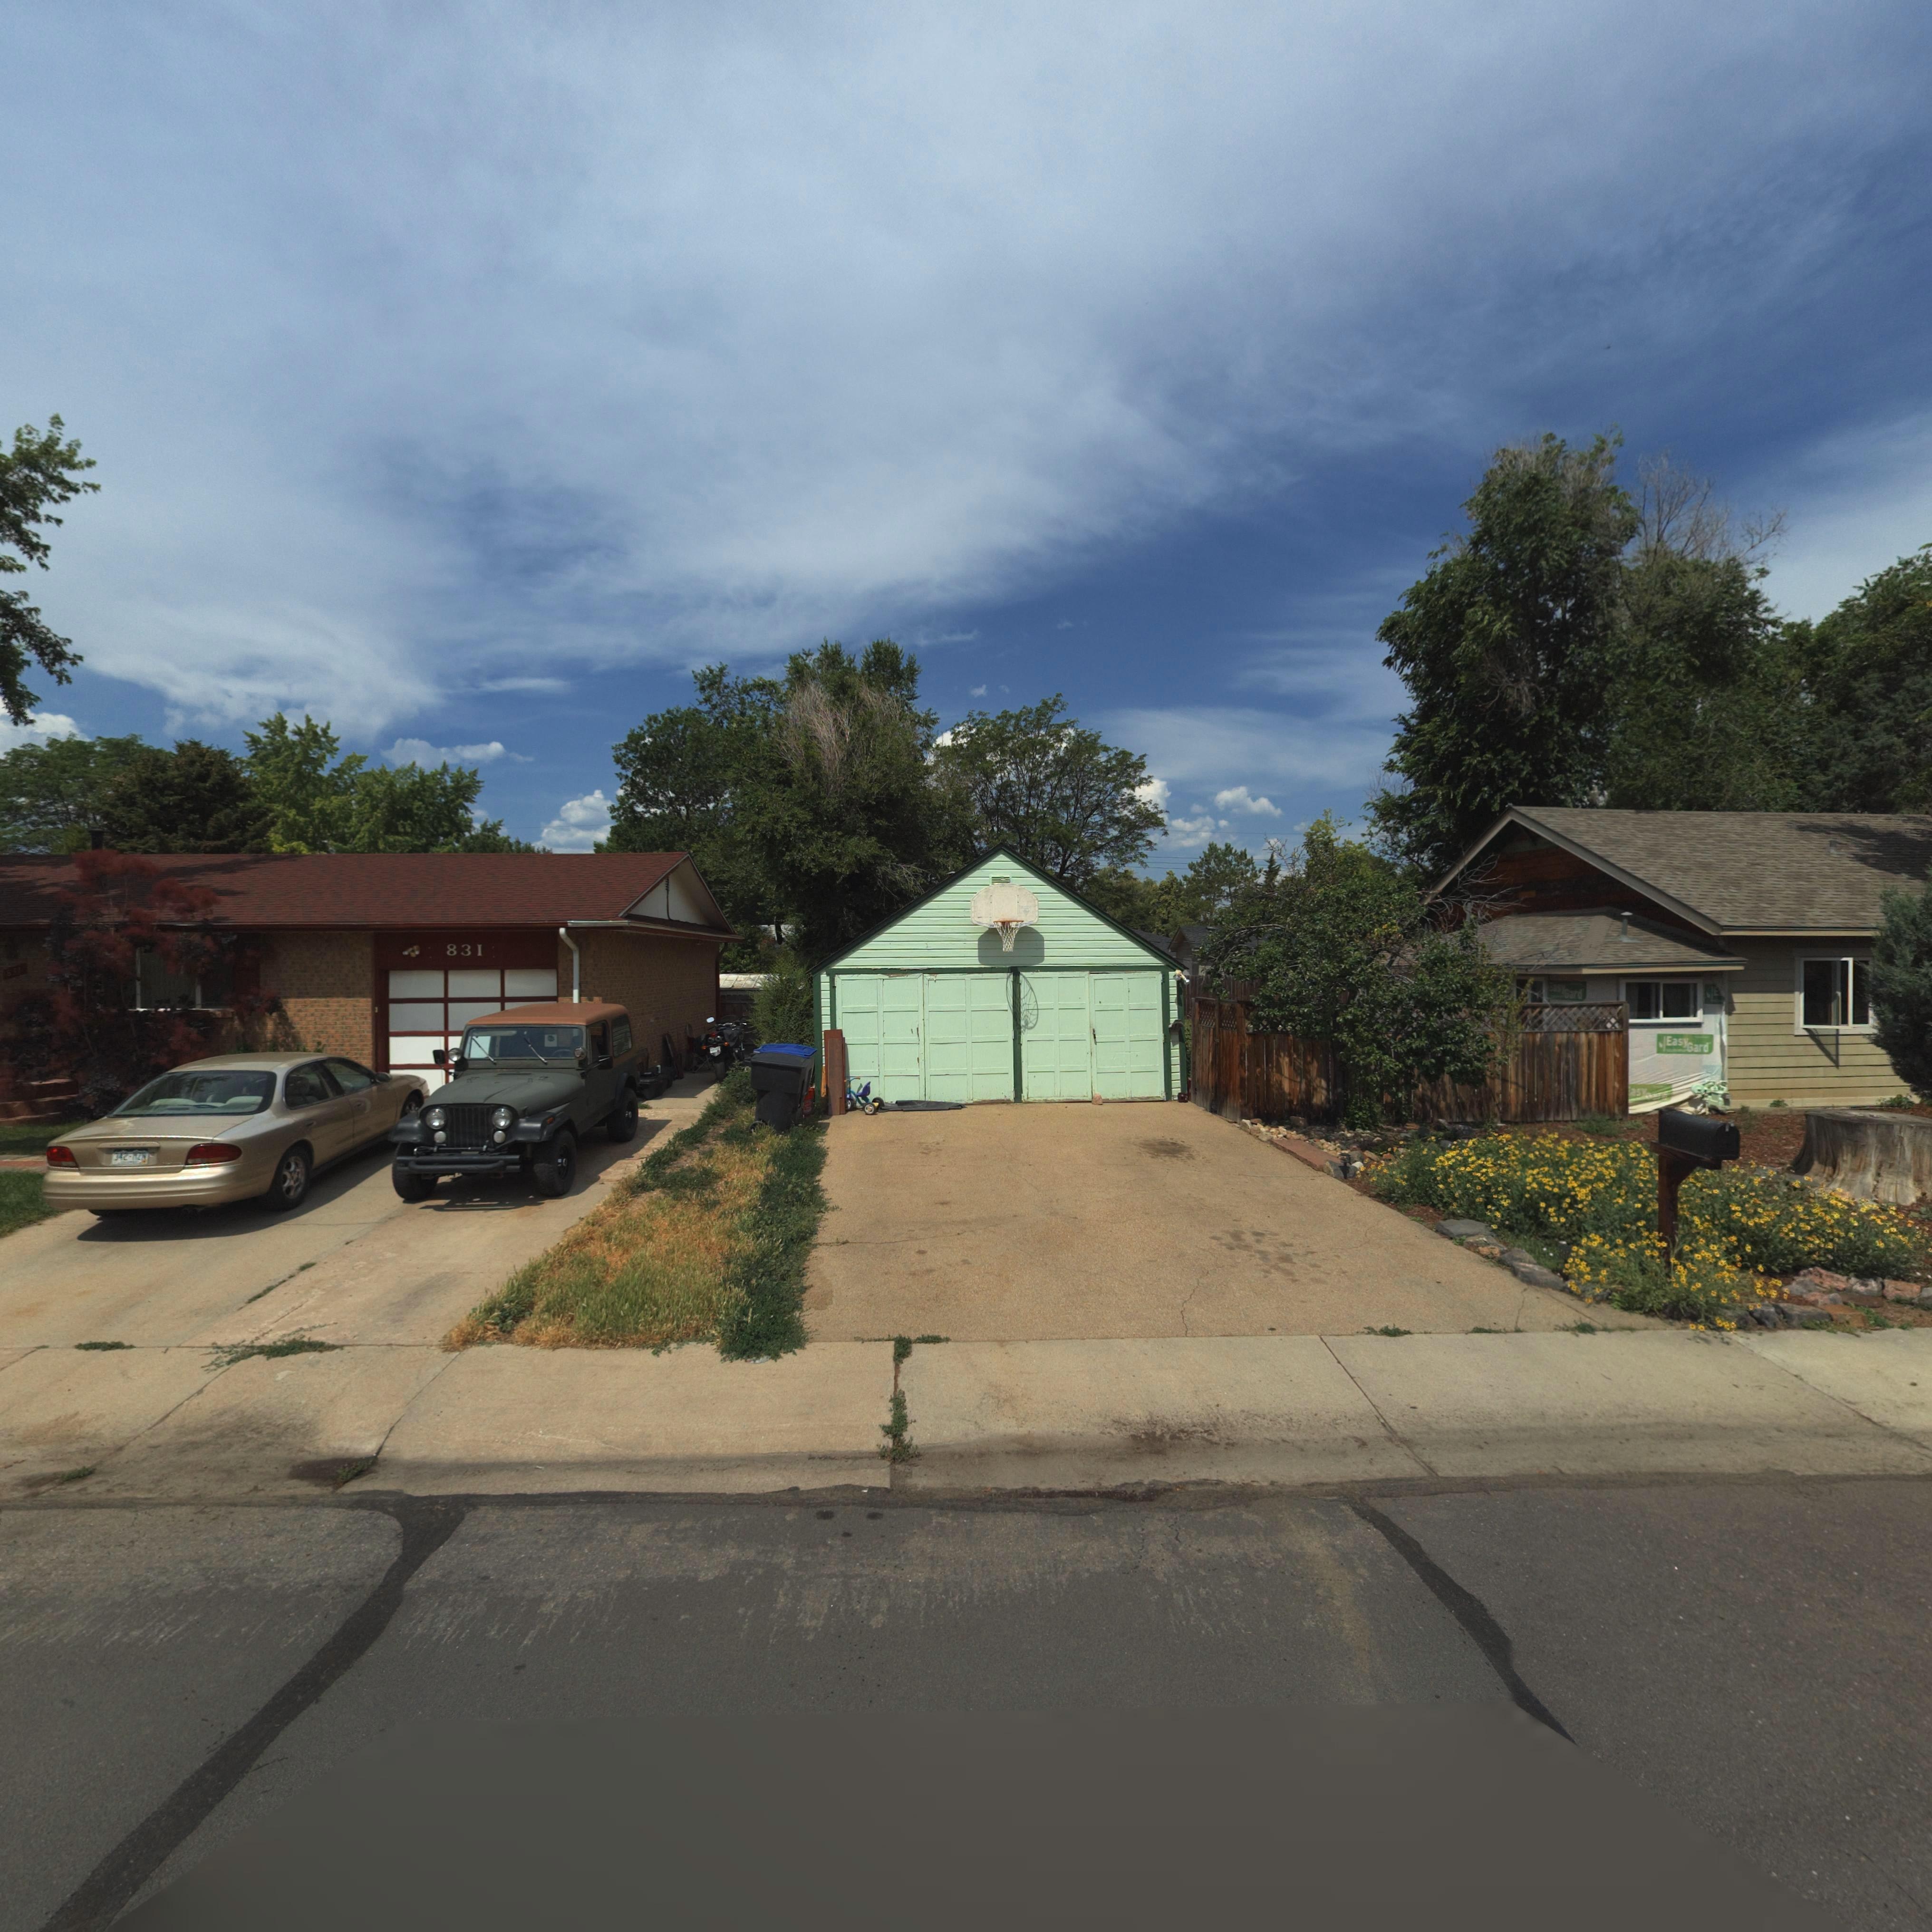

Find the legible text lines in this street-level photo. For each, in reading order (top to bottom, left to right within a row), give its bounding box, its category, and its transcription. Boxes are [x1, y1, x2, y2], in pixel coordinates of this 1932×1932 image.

[445, 943, 483, 956] StreetNumber: 831